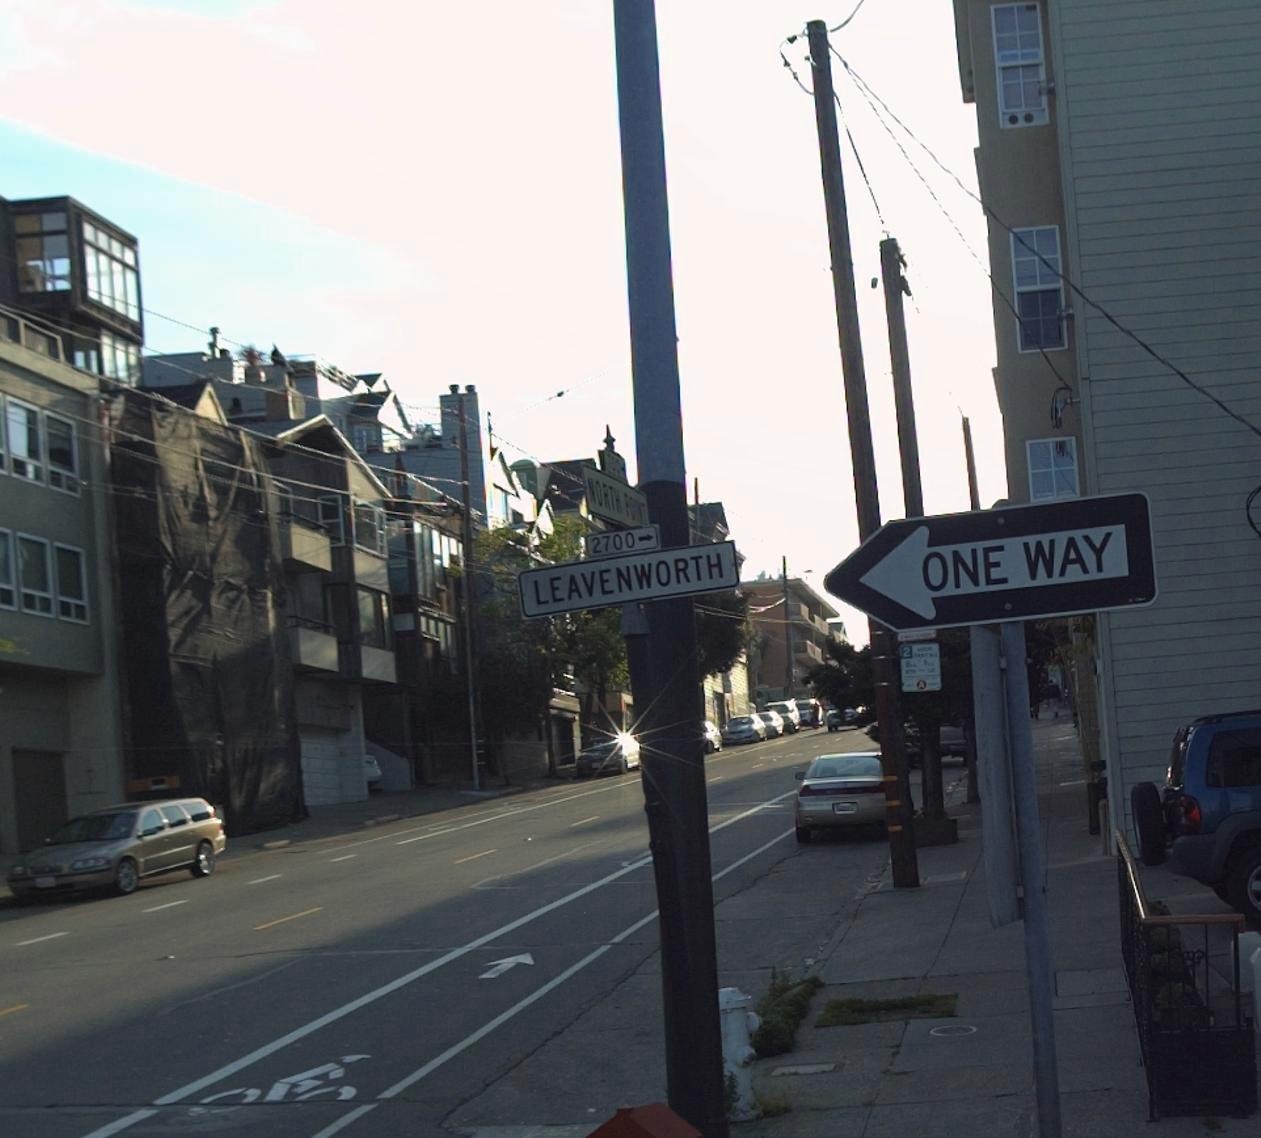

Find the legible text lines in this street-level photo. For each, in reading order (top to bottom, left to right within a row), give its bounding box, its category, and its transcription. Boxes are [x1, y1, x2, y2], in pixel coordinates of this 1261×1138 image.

[603, 447, 627, 484] StreetNumberRange: 700->
[582, 469, 651, 530] StreetName: NORTH POINT
[586, 528, 660, 558] StreetNumberRange: 2700->
[529, 548, 728, 610] StreetName: LEAVENWORTH
[917, 526, 1120, 596] None: ONE WAY
[900, 644, 913, 659] None: 2
[915, 678, 929, 691] None: A